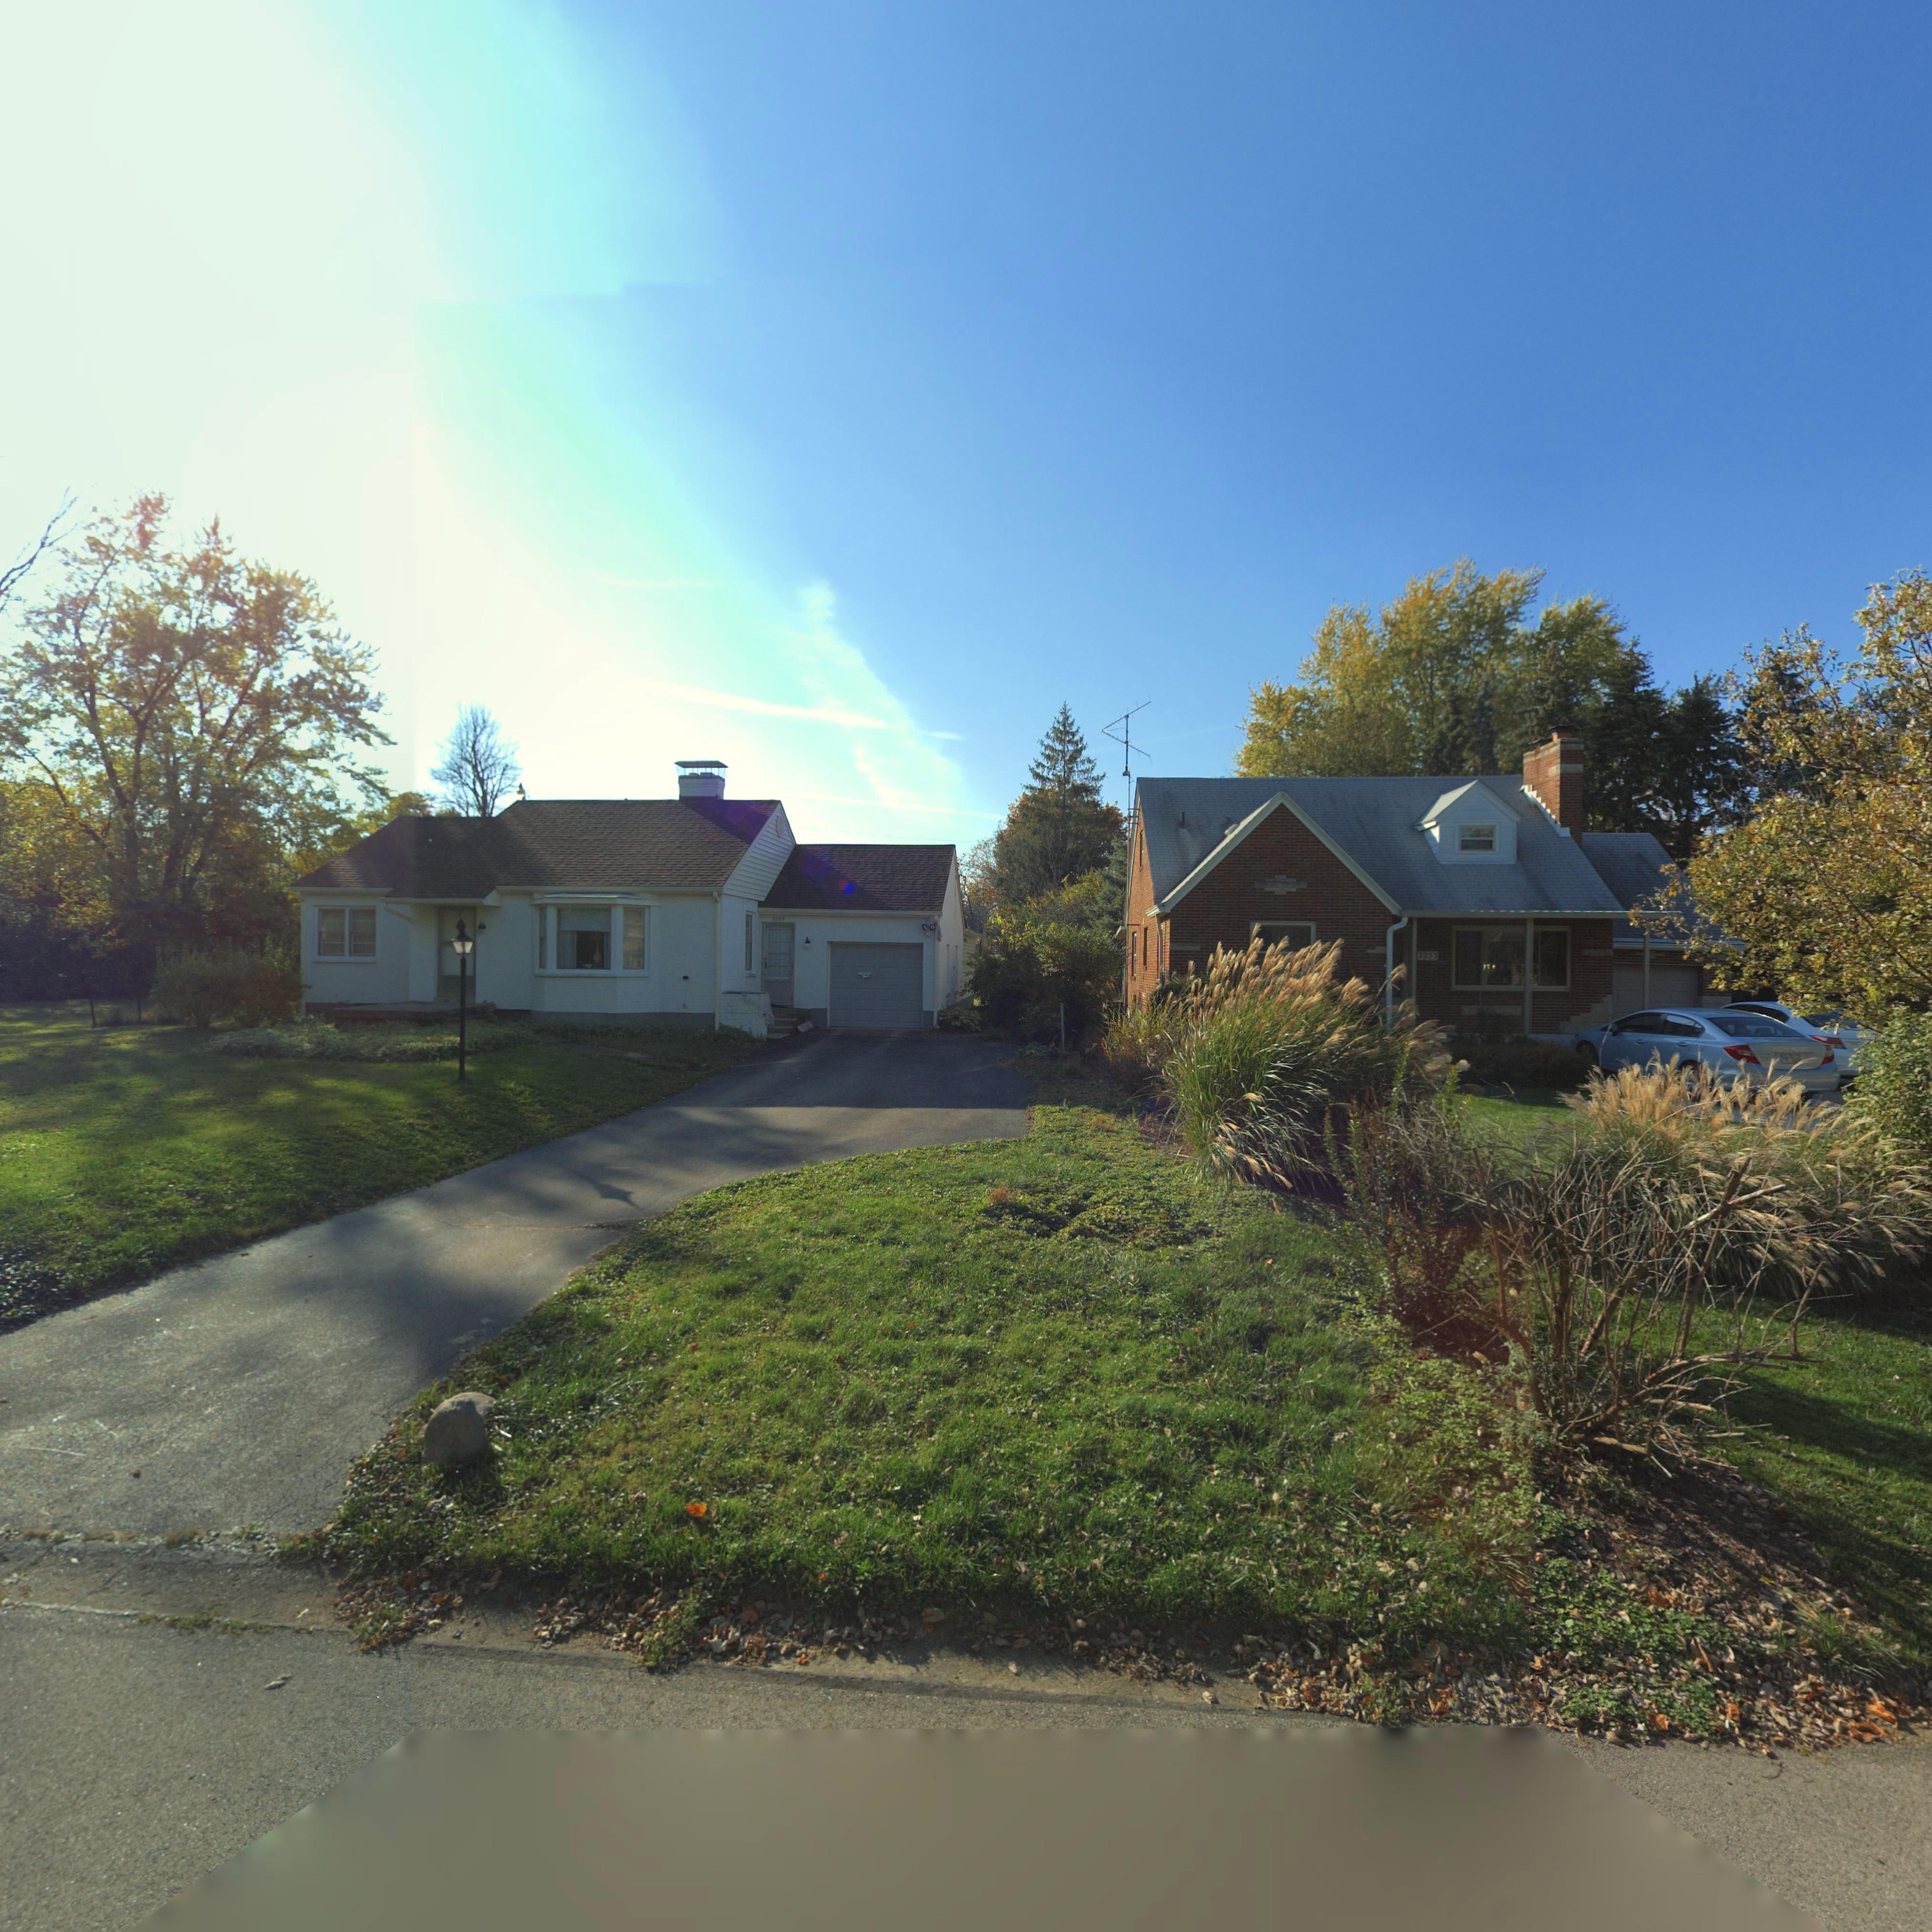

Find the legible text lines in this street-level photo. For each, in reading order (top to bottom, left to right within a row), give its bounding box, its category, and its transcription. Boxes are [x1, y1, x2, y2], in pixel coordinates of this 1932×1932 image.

[771, 916, 785, 921] StreetNumber: 3259
[1417, 952, 1438, 959] StreetNumber: 3253